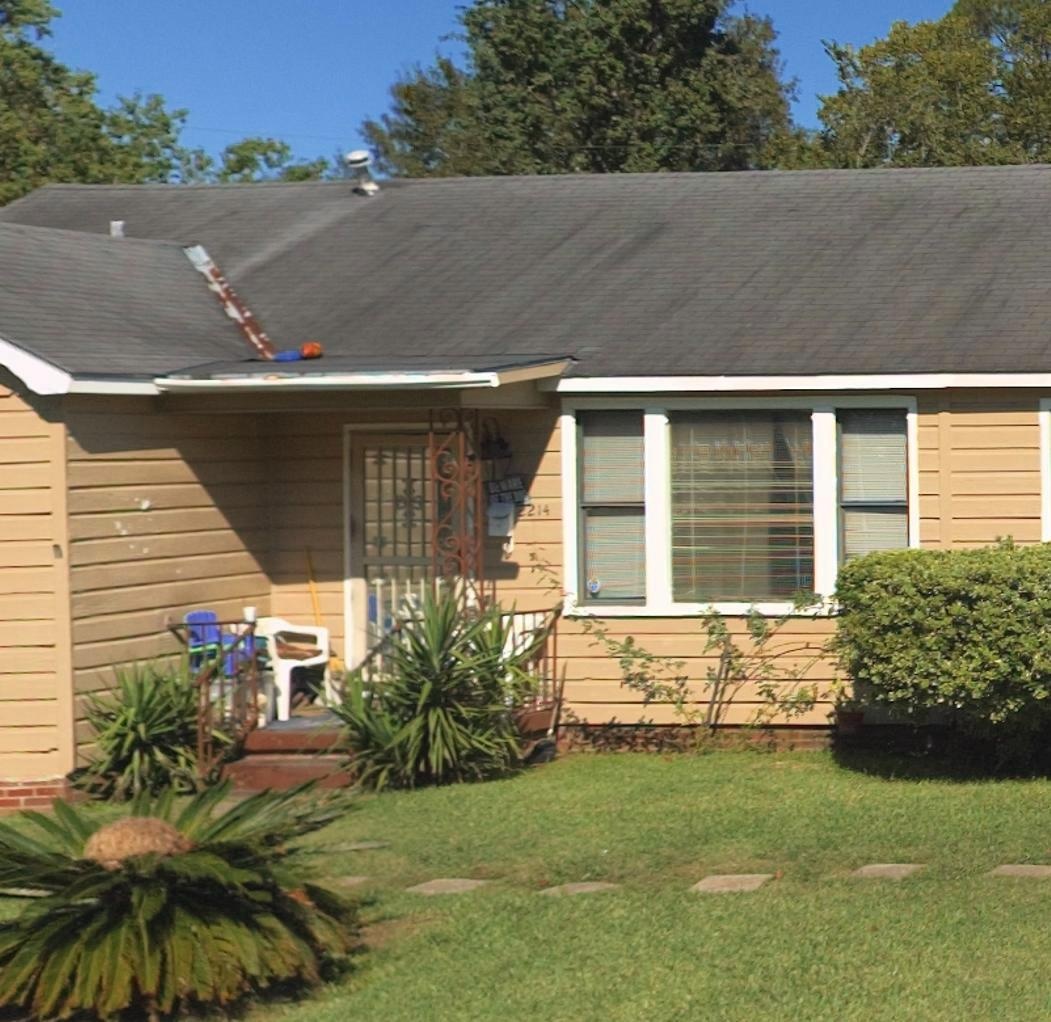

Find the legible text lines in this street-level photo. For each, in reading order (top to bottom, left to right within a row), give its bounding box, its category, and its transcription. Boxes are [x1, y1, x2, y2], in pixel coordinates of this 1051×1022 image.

[487, 475, 525, 494] None: BEWARE
[489, 489, 530, 506] None: OF THE DOG
[514, 502, 551, 518] StreetNumber: 2214